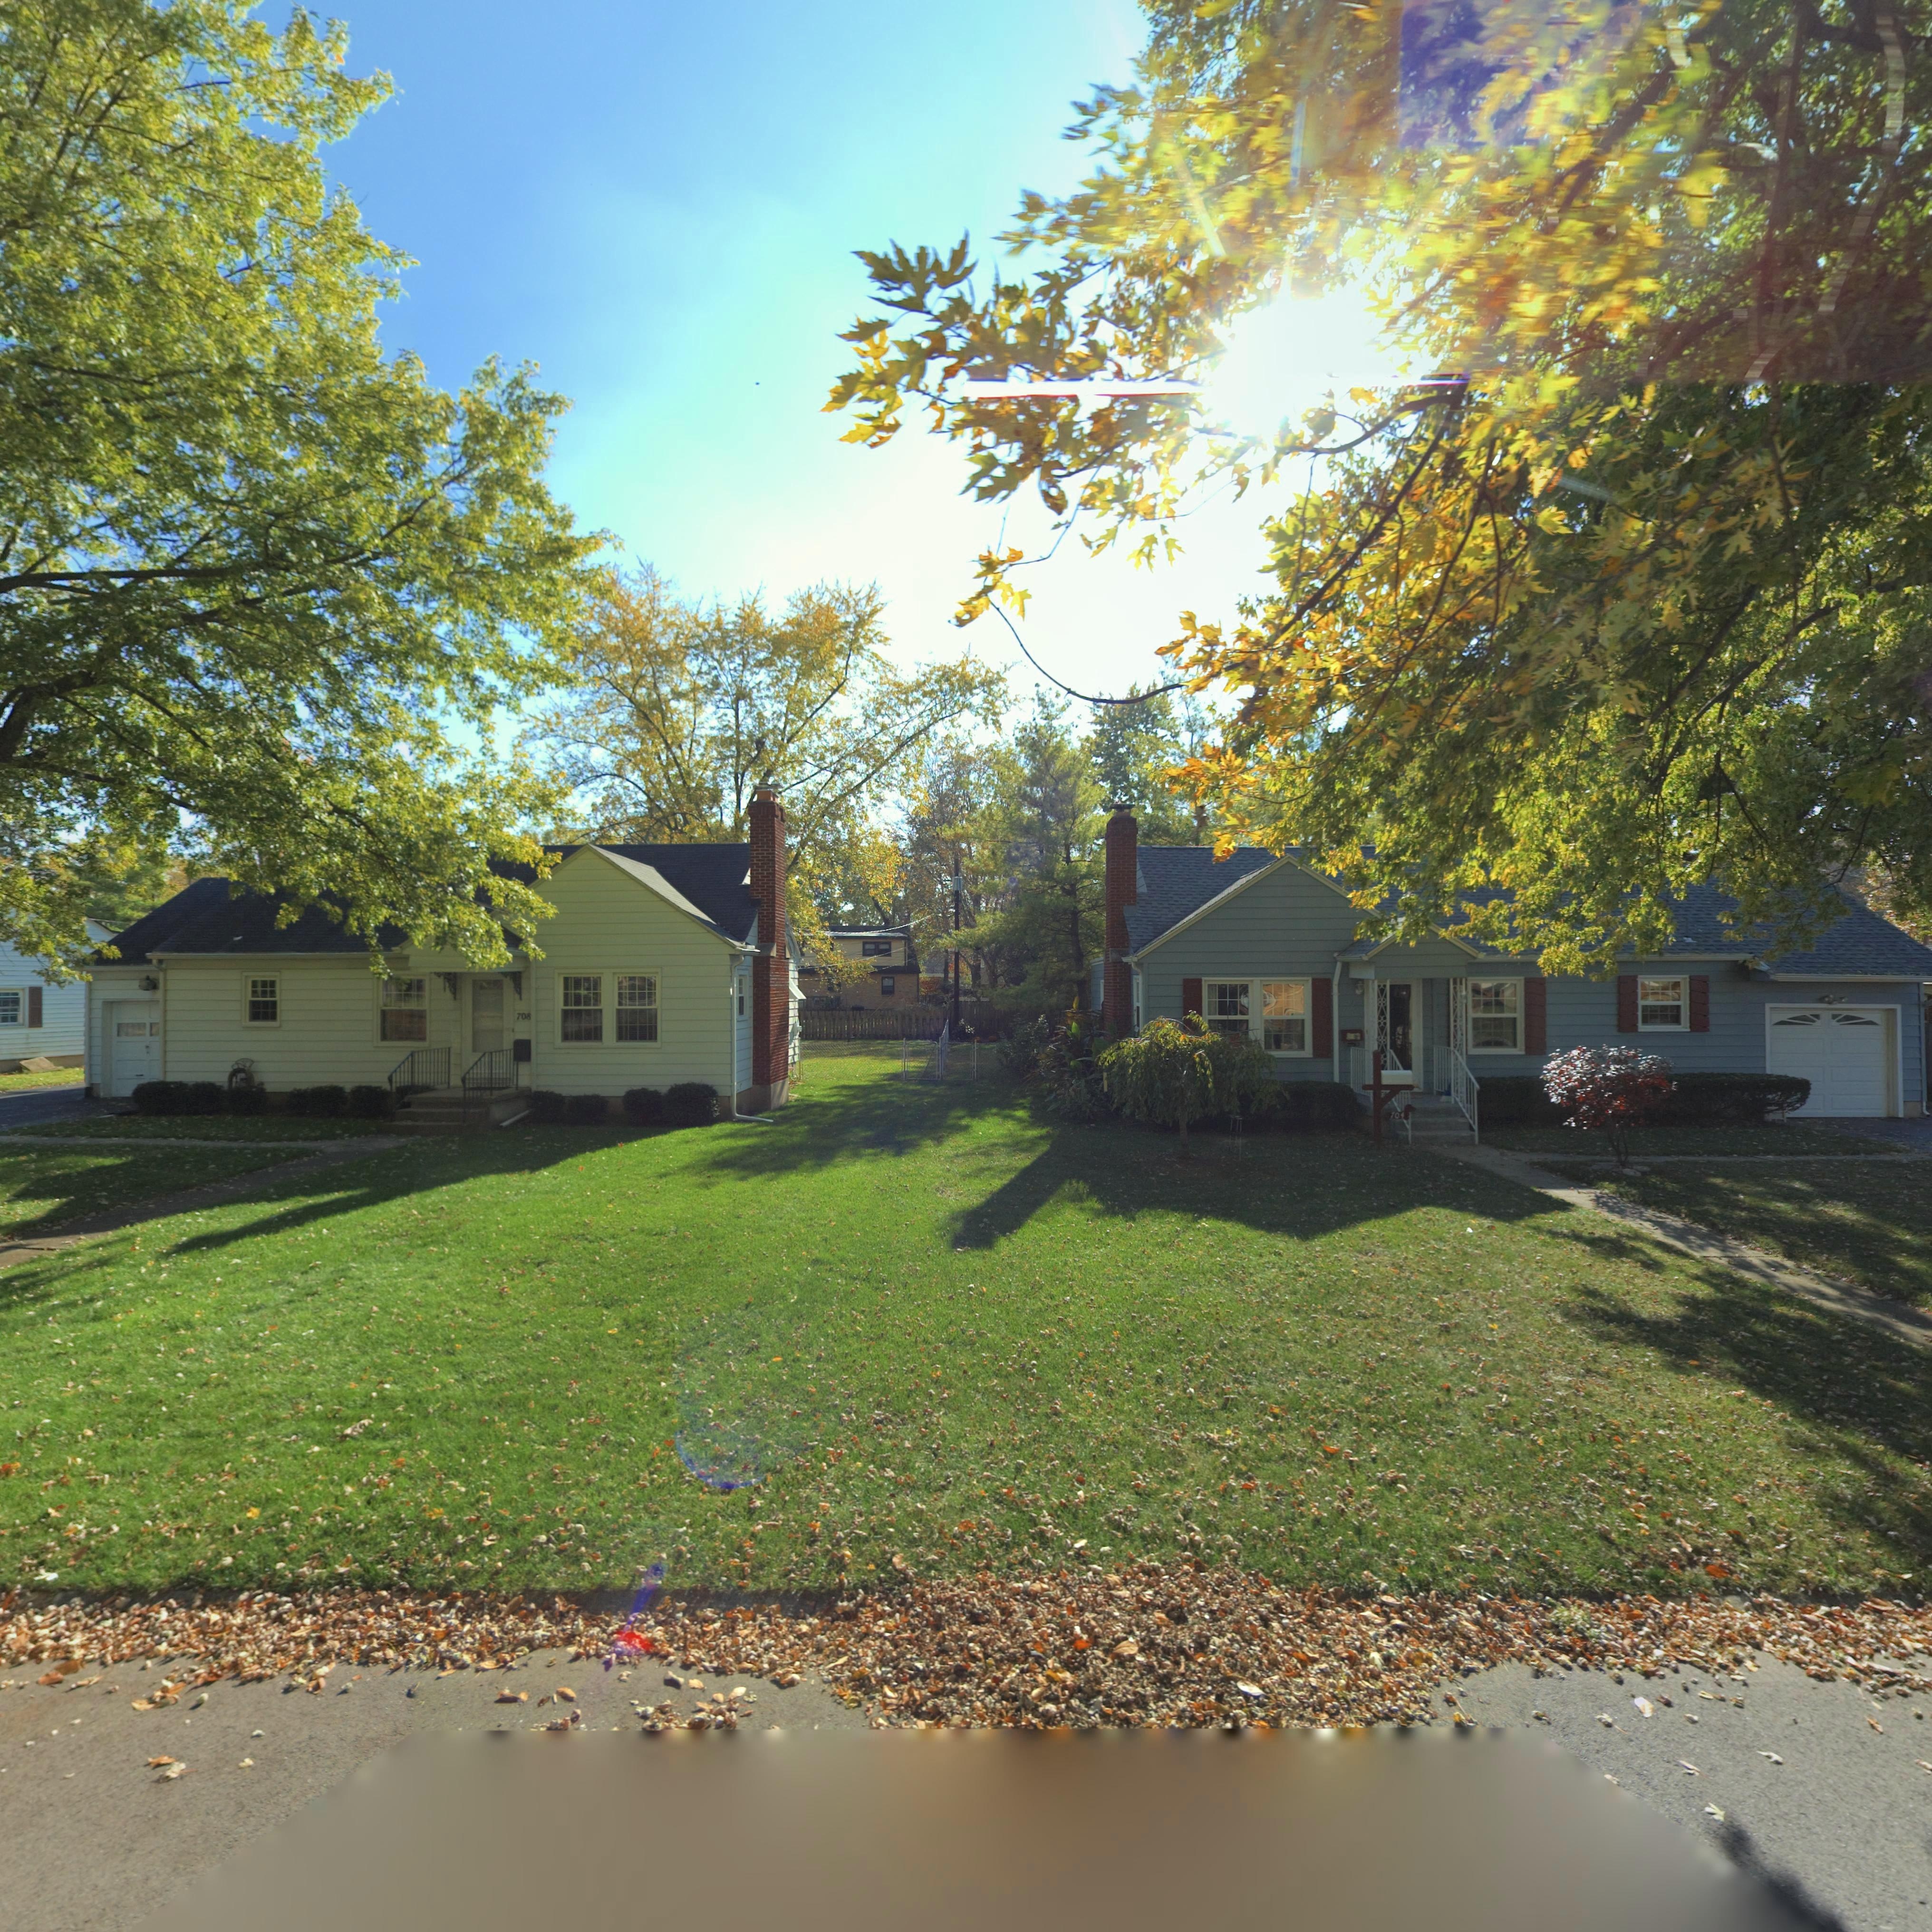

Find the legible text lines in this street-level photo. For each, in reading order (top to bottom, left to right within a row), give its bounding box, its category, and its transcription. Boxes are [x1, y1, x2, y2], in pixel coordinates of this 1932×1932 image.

[516, 1012, 531, 1021] StreetNumber: 708
[1390, 1111, 1405, 1120] StreetNumber: 704